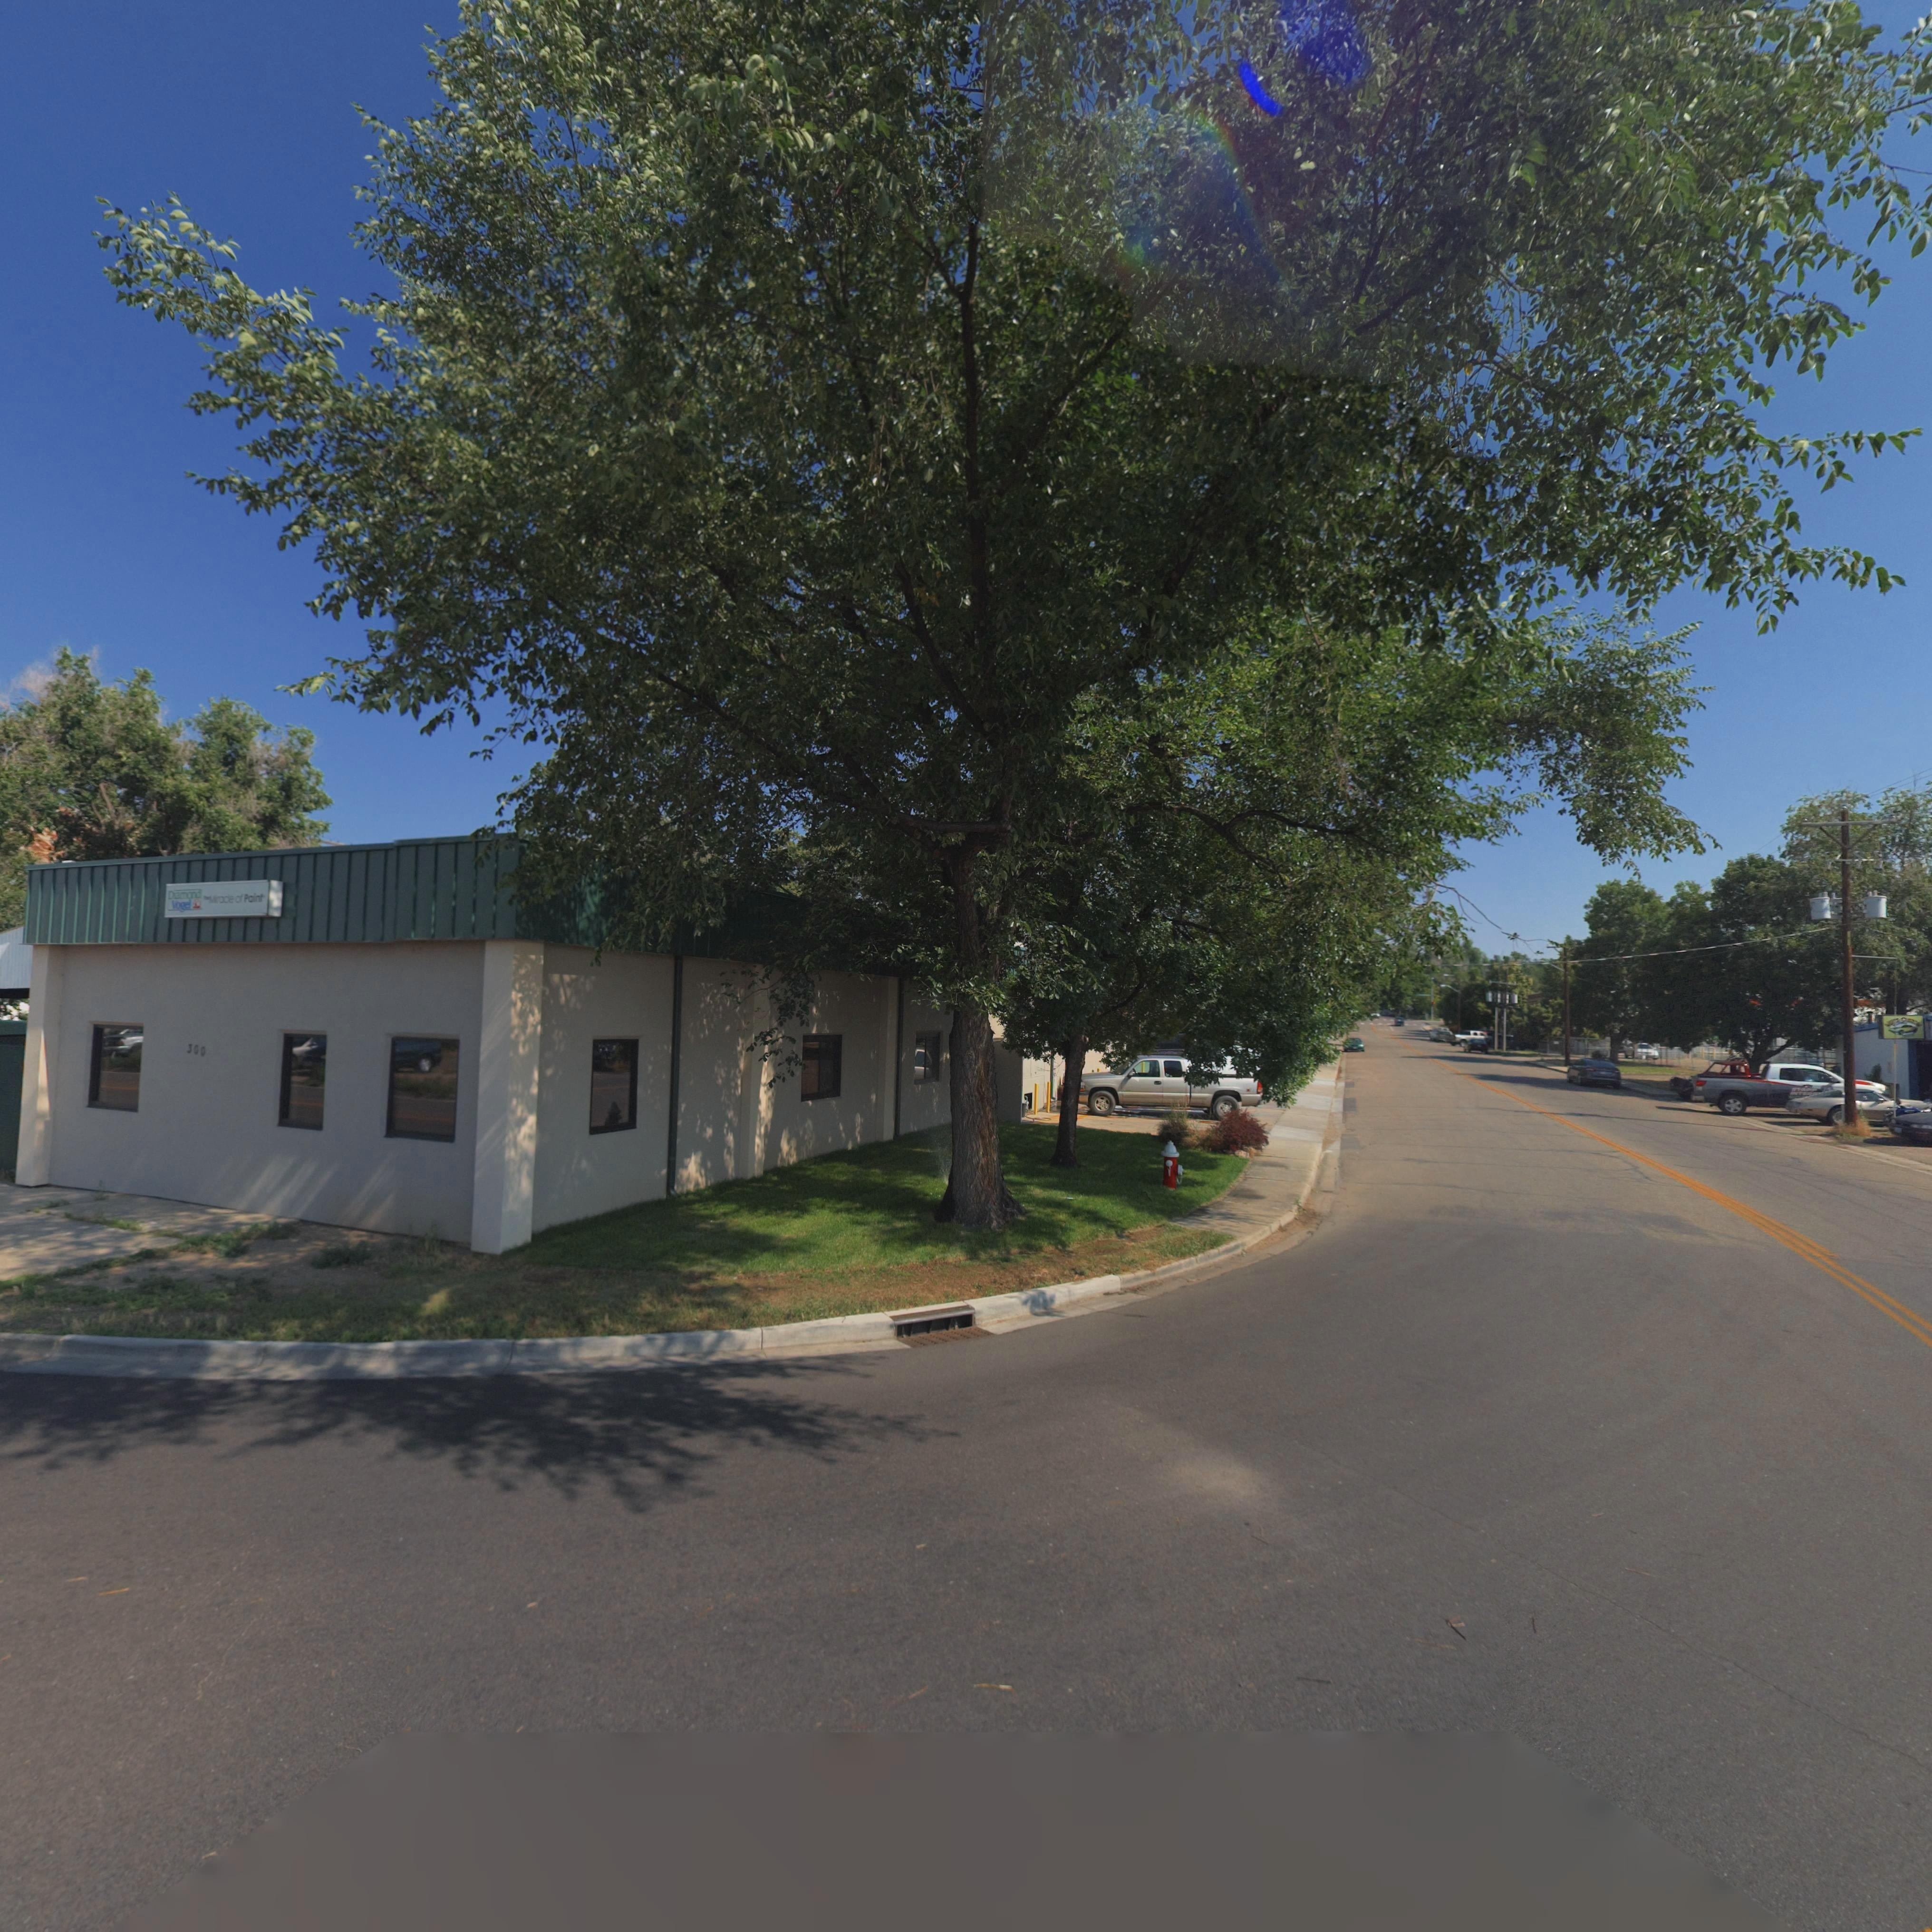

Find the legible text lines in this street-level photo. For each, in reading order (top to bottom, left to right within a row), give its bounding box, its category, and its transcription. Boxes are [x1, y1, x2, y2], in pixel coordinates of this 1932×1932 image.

[167, 889, 202, 899] BusinessName: Diamond
[170, 898, 192, 913] BusinessName: Vogel
[186, 1043, 206, 1058] StreetNumber: 300